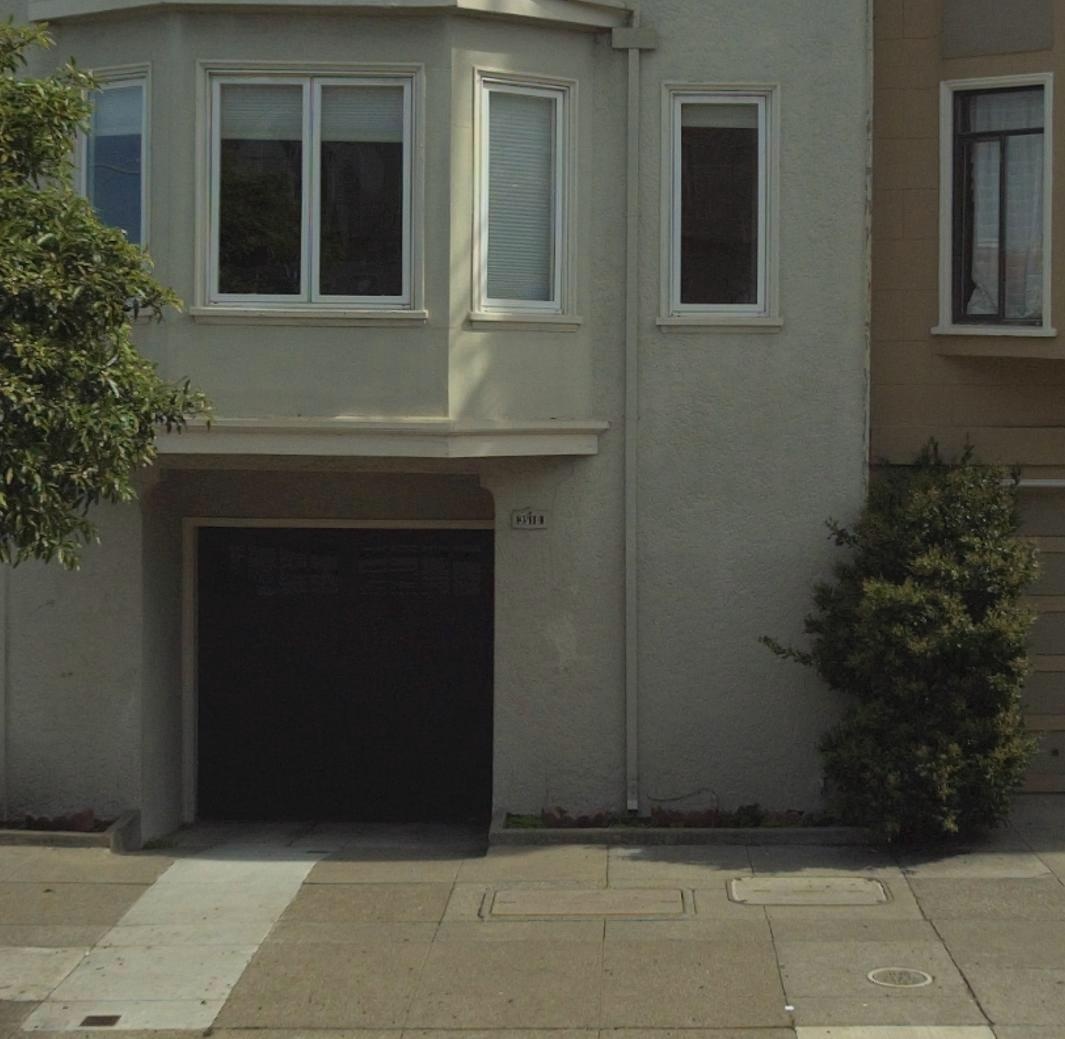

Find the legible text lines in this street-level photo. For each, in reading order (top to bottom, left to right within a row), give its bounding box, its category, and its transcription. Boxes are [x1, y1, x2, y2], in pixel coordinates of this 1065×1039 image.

[516, 514, 543, 526] StreetNumber: 351*